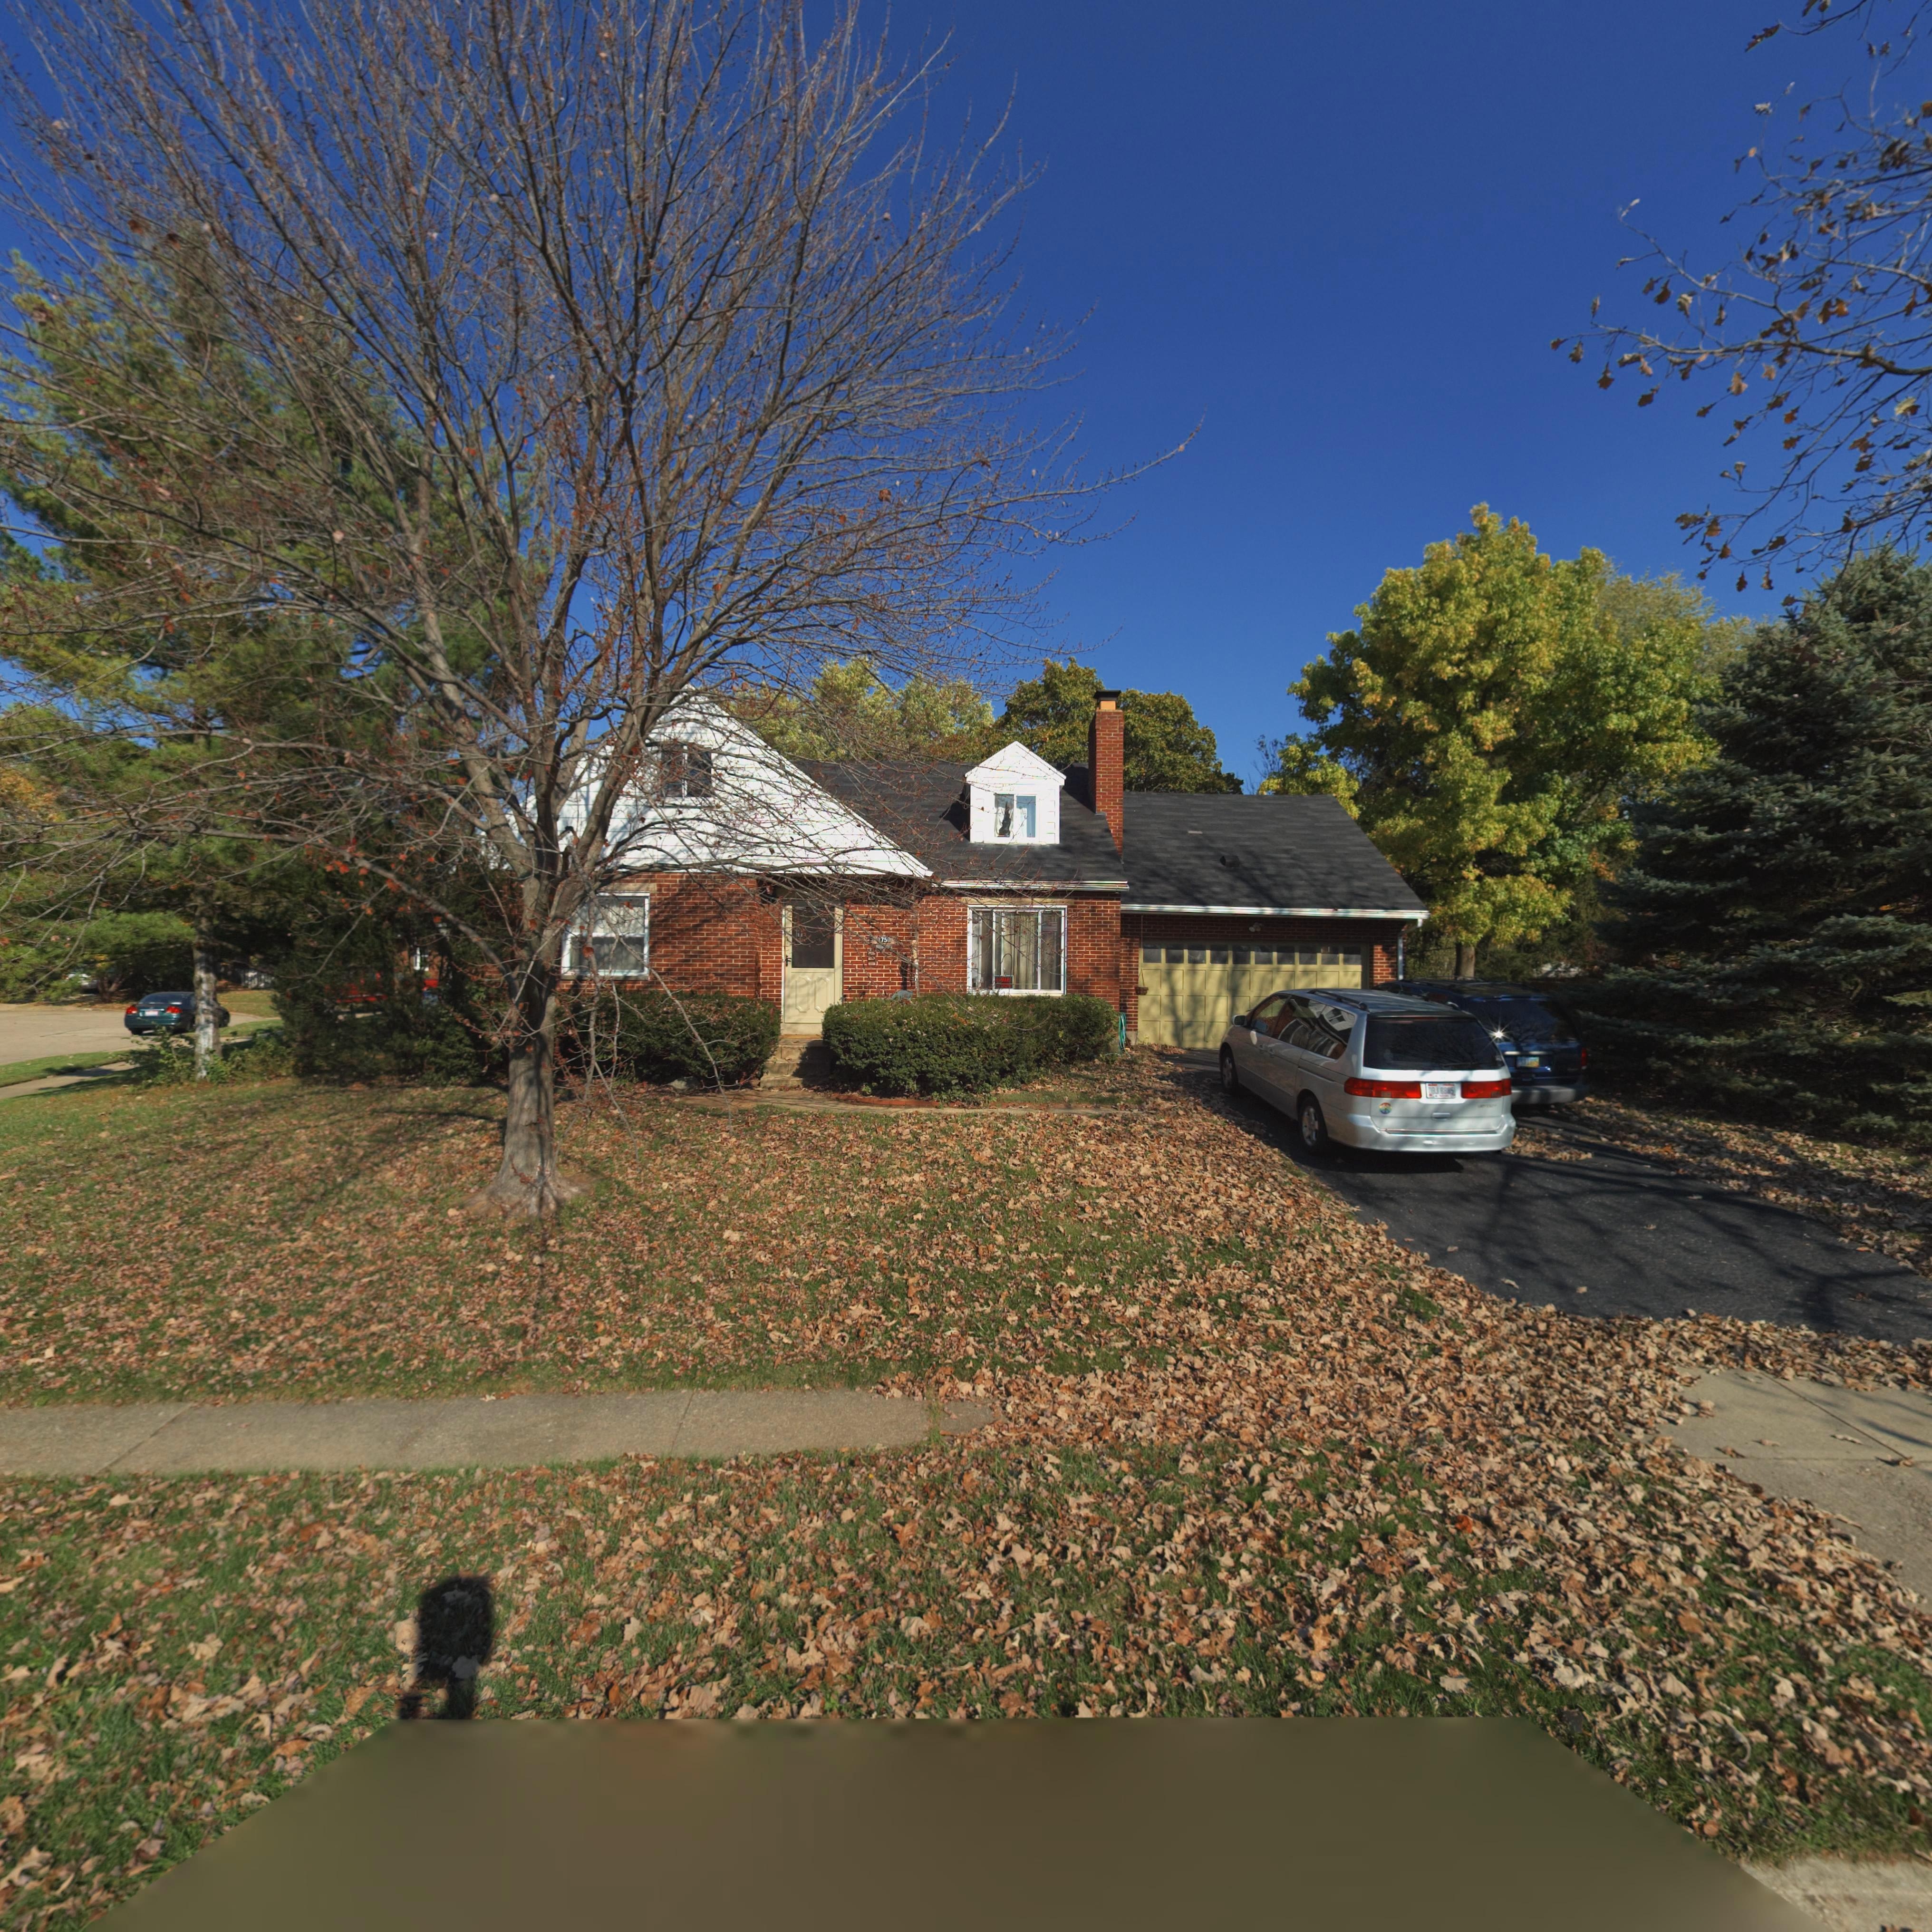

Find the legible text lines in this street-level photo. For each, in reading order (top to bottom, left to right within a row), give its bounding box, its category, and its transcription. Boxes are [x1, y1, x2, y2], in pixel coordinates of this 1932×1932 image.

[877, 937, 891, 943] StreetNumber: *750
[1000, 977, 1010, 983] None: WAR
[1517, 1058, 1530, 1066] None: ESJ*1
[1428, 1087, 1455, 1095] None: DBJ*8885